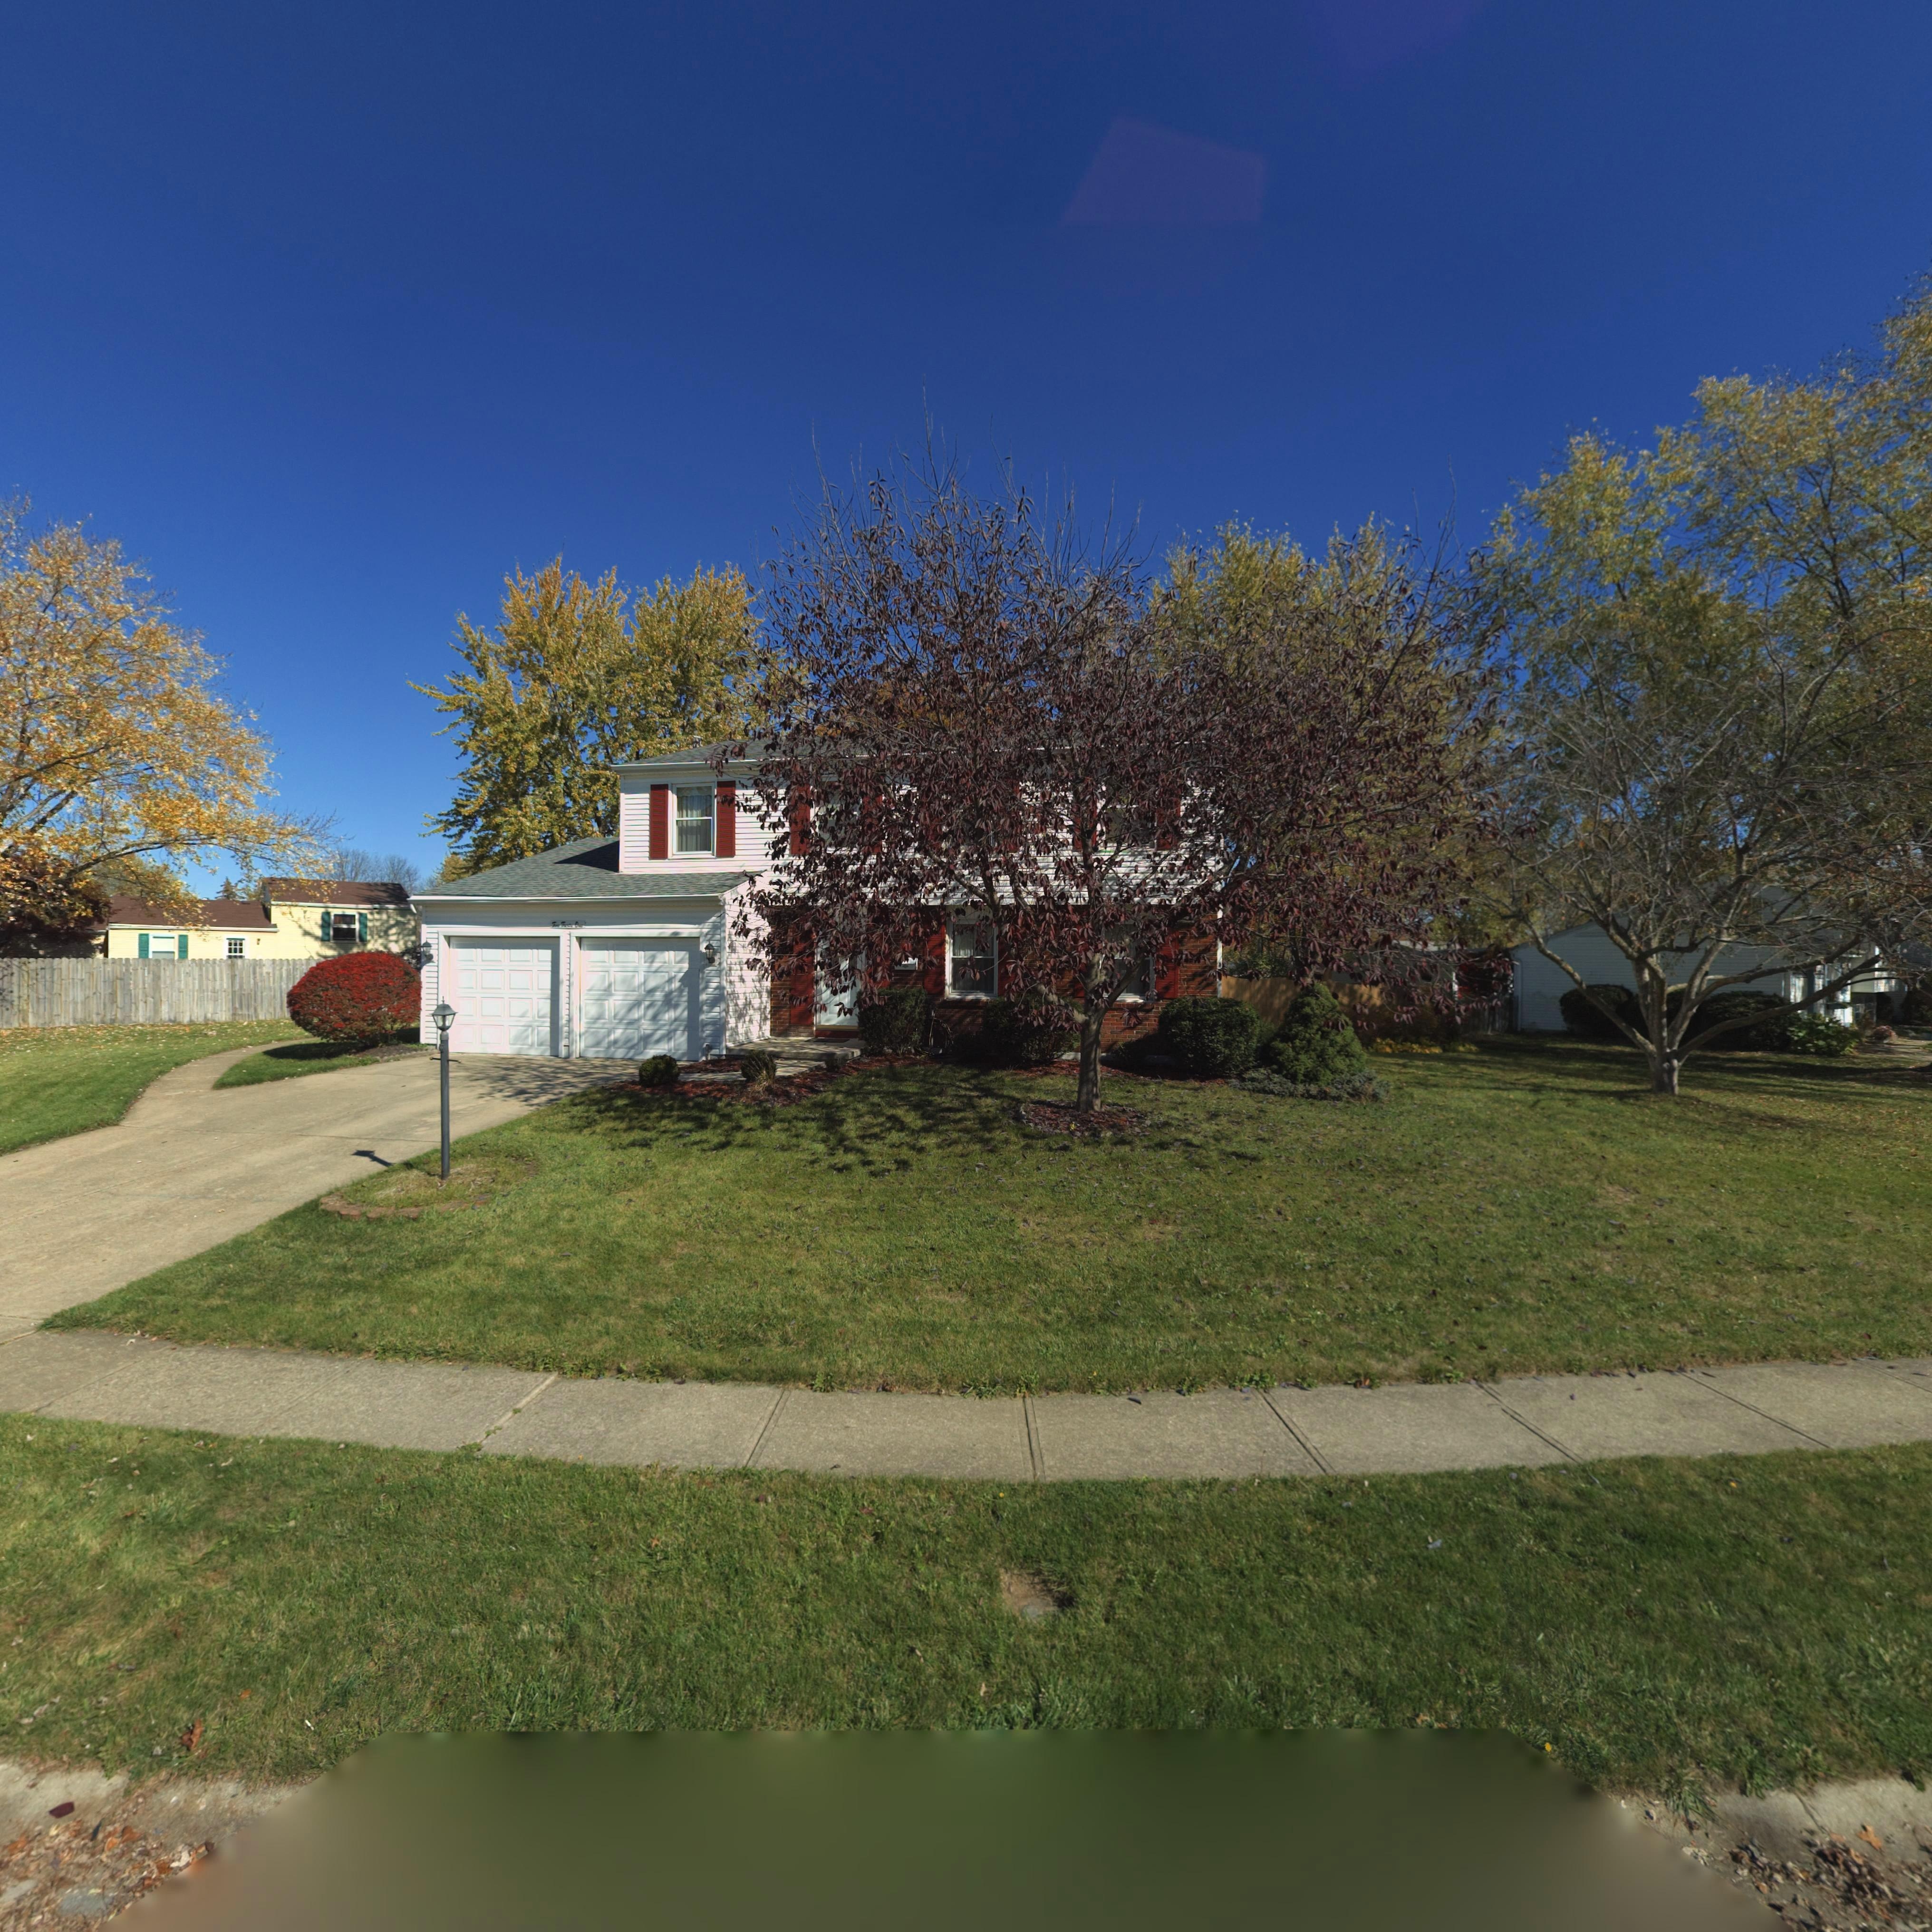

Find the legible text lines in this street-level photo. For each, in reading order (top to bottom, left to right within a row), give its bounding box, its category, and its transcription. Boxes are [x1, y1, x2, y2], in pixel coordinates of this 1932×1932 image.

[551, 921, 584, 928] StreetNumber: T** T***** One